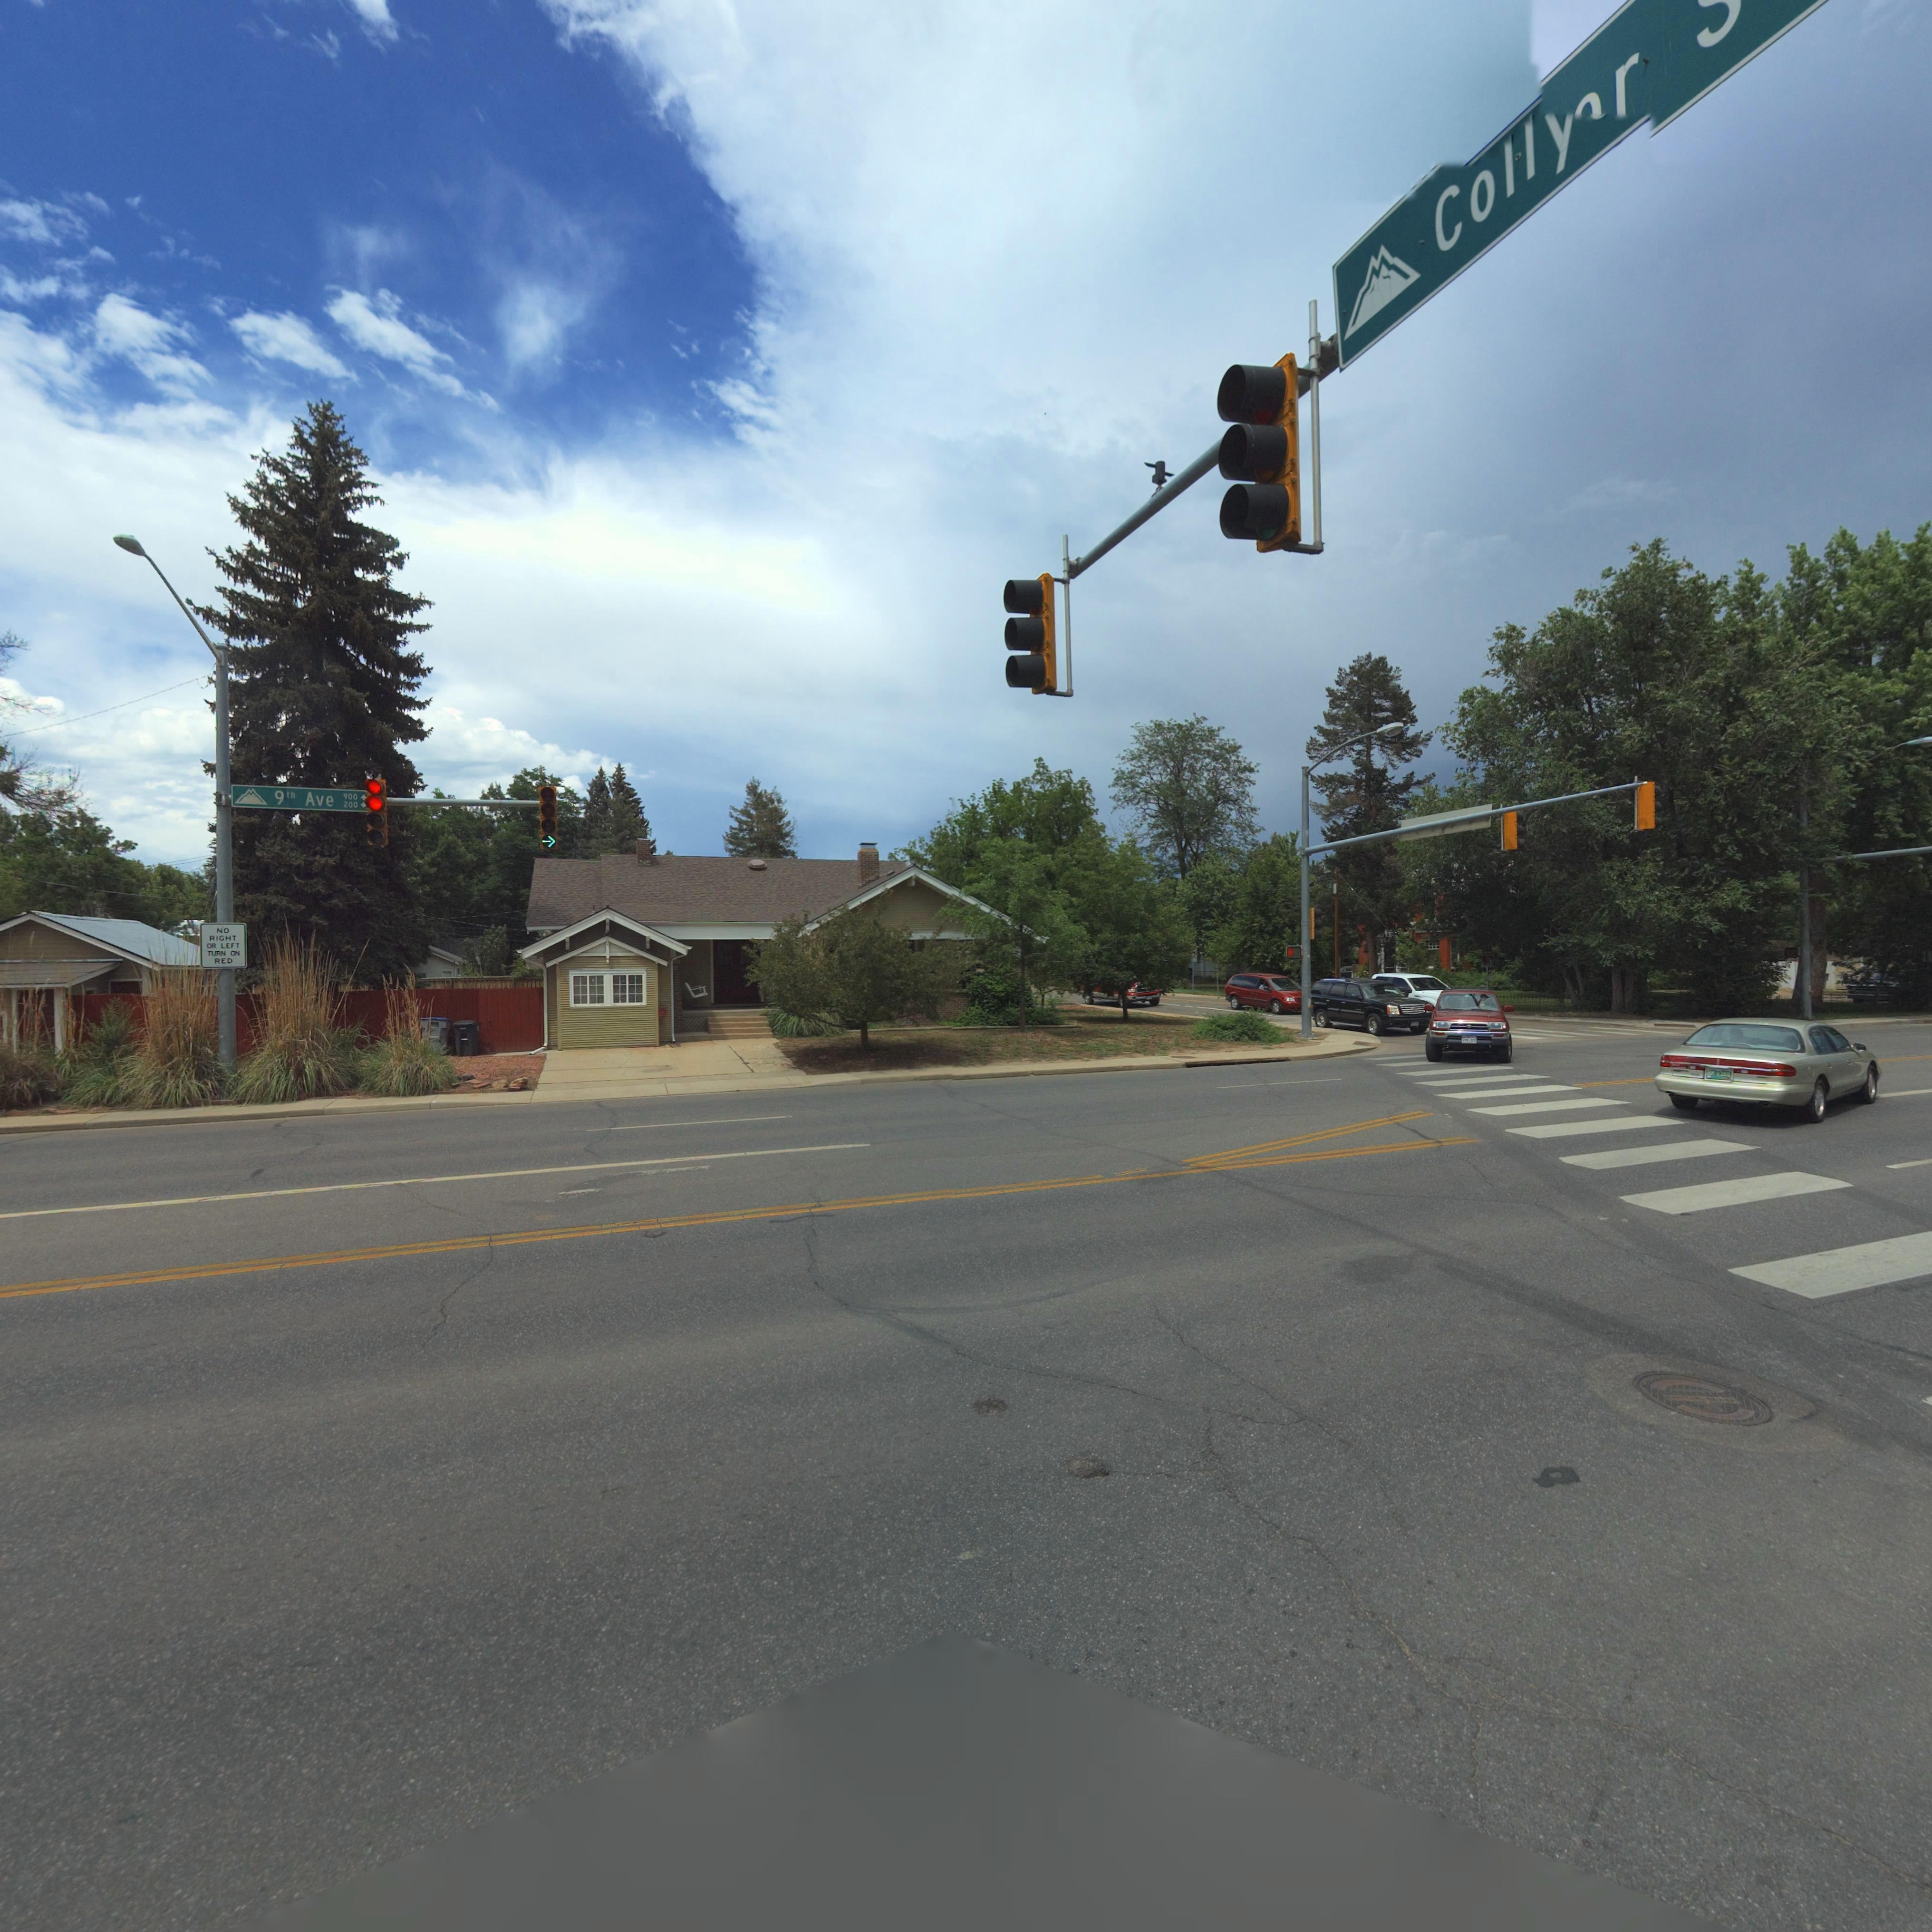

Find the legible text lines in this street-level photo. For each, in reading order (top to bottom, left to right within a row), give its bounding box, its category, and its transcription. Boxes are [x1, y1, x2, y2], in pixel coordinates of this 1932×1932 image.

[1431, 45, 1642, 255] StreetName: Coll***
[273, 789, 334, 808] StreetName: 9th Ave
[343, 793, 358, 800] StreetNumber: 900
[343, 801, 358, 808] StreetNumber: 200
[1462, 1038, 1476, 1042] StreetName: Colly*r